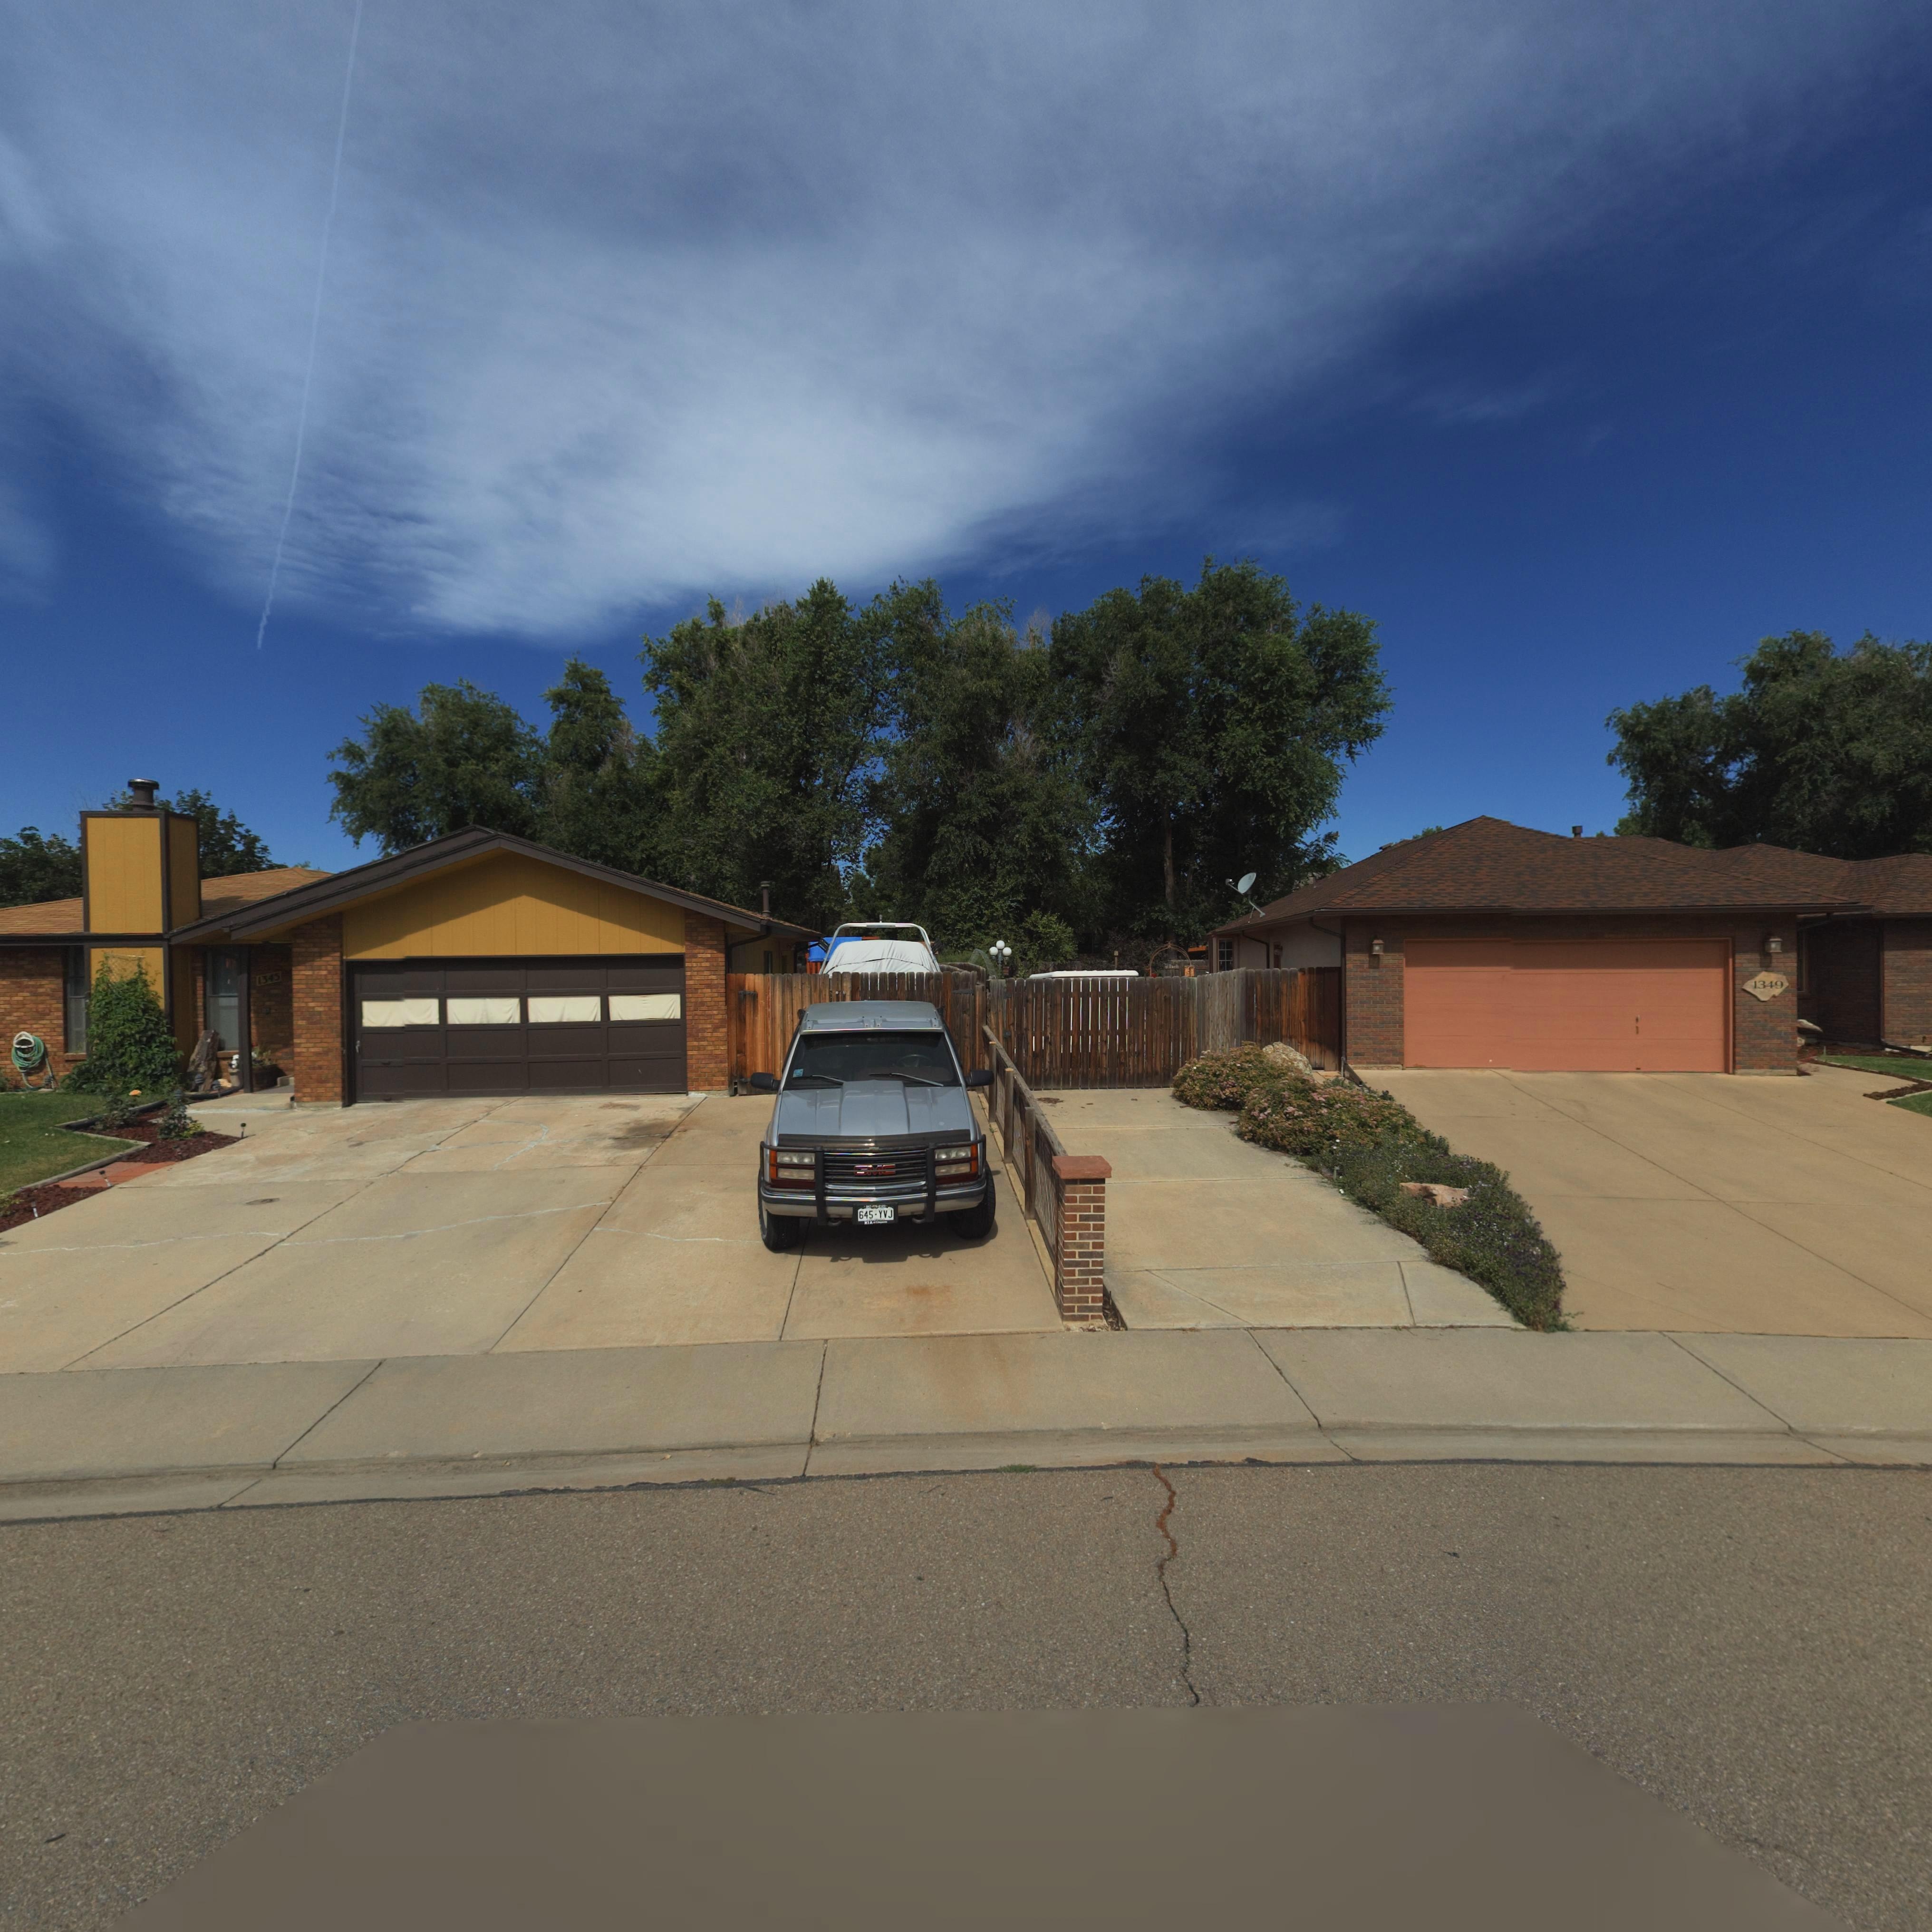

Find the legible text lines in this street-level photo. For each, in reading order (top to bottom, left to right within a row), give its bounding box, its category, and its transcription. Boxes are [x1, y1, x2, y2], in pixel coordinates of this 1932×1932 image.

[257, 971, 281, 985] StreetNumber: 1345
[1753, 980, 1784, 989] StreetNumber: 1349